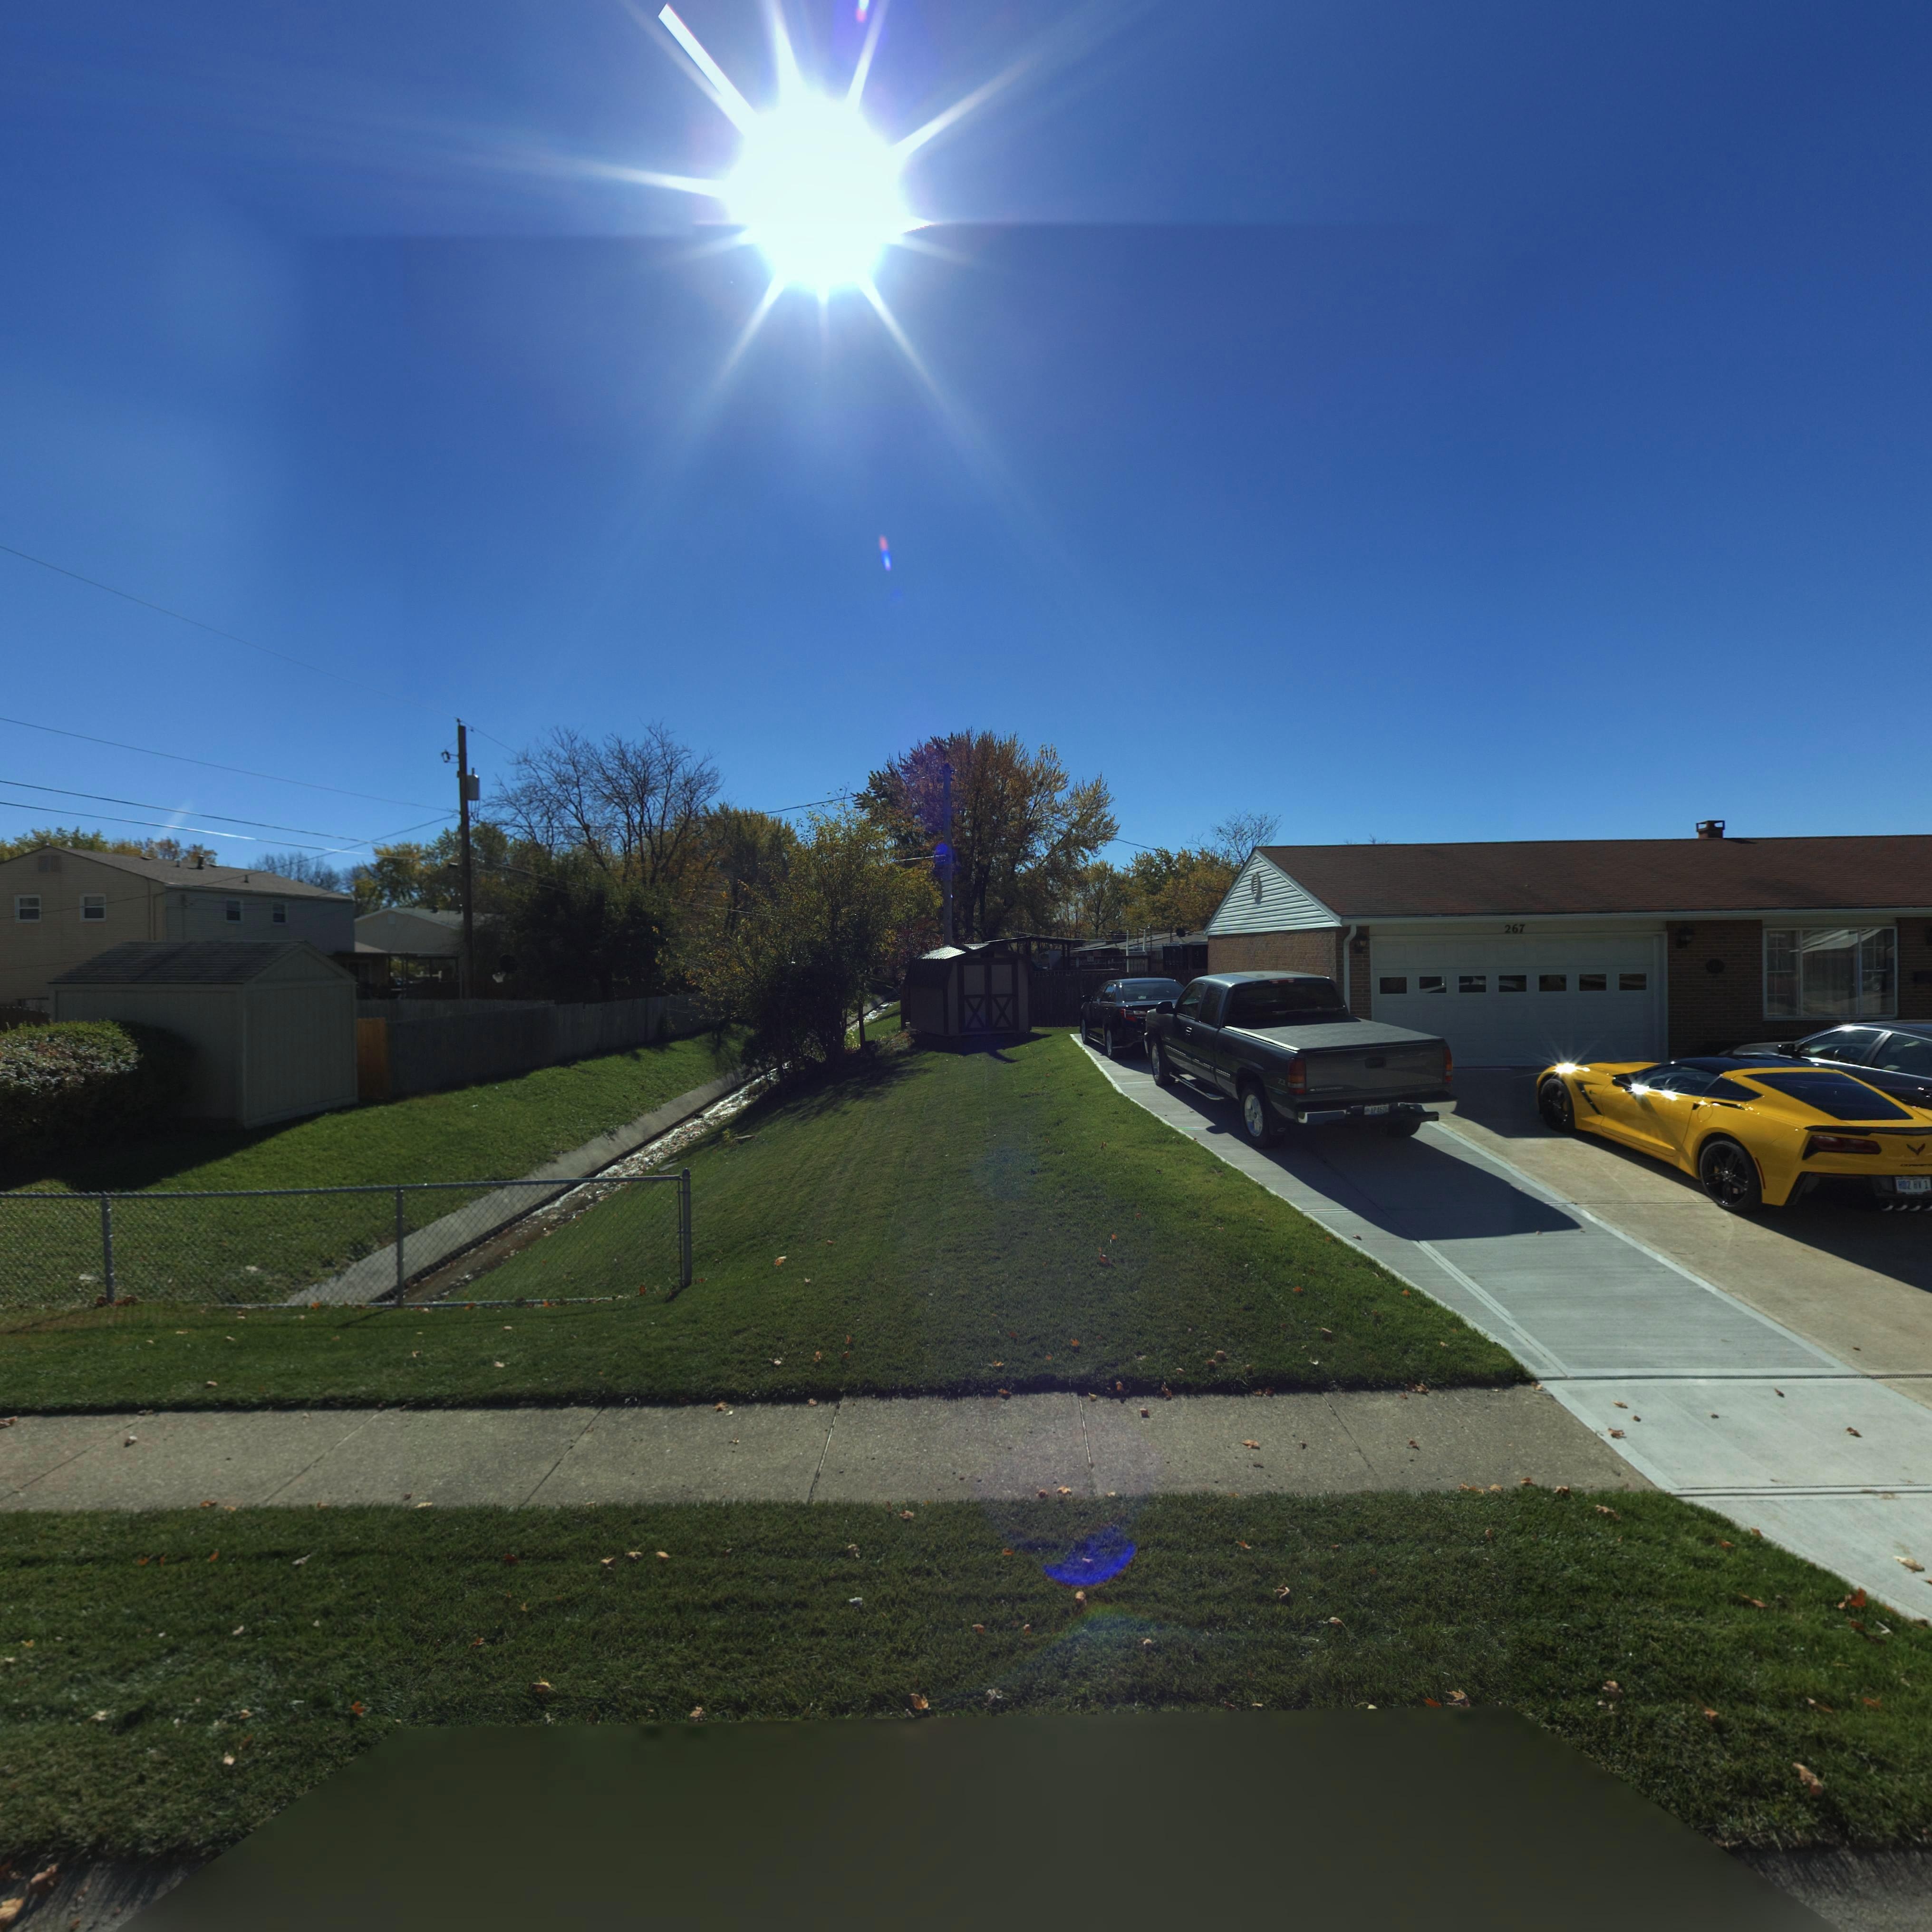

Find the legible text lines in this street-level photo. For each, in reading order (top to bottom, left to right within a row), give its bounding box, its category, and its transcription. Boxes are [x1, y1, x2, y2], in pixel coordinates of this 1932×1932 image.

[1503, 923, 1526, 934] StreetNumber: 267